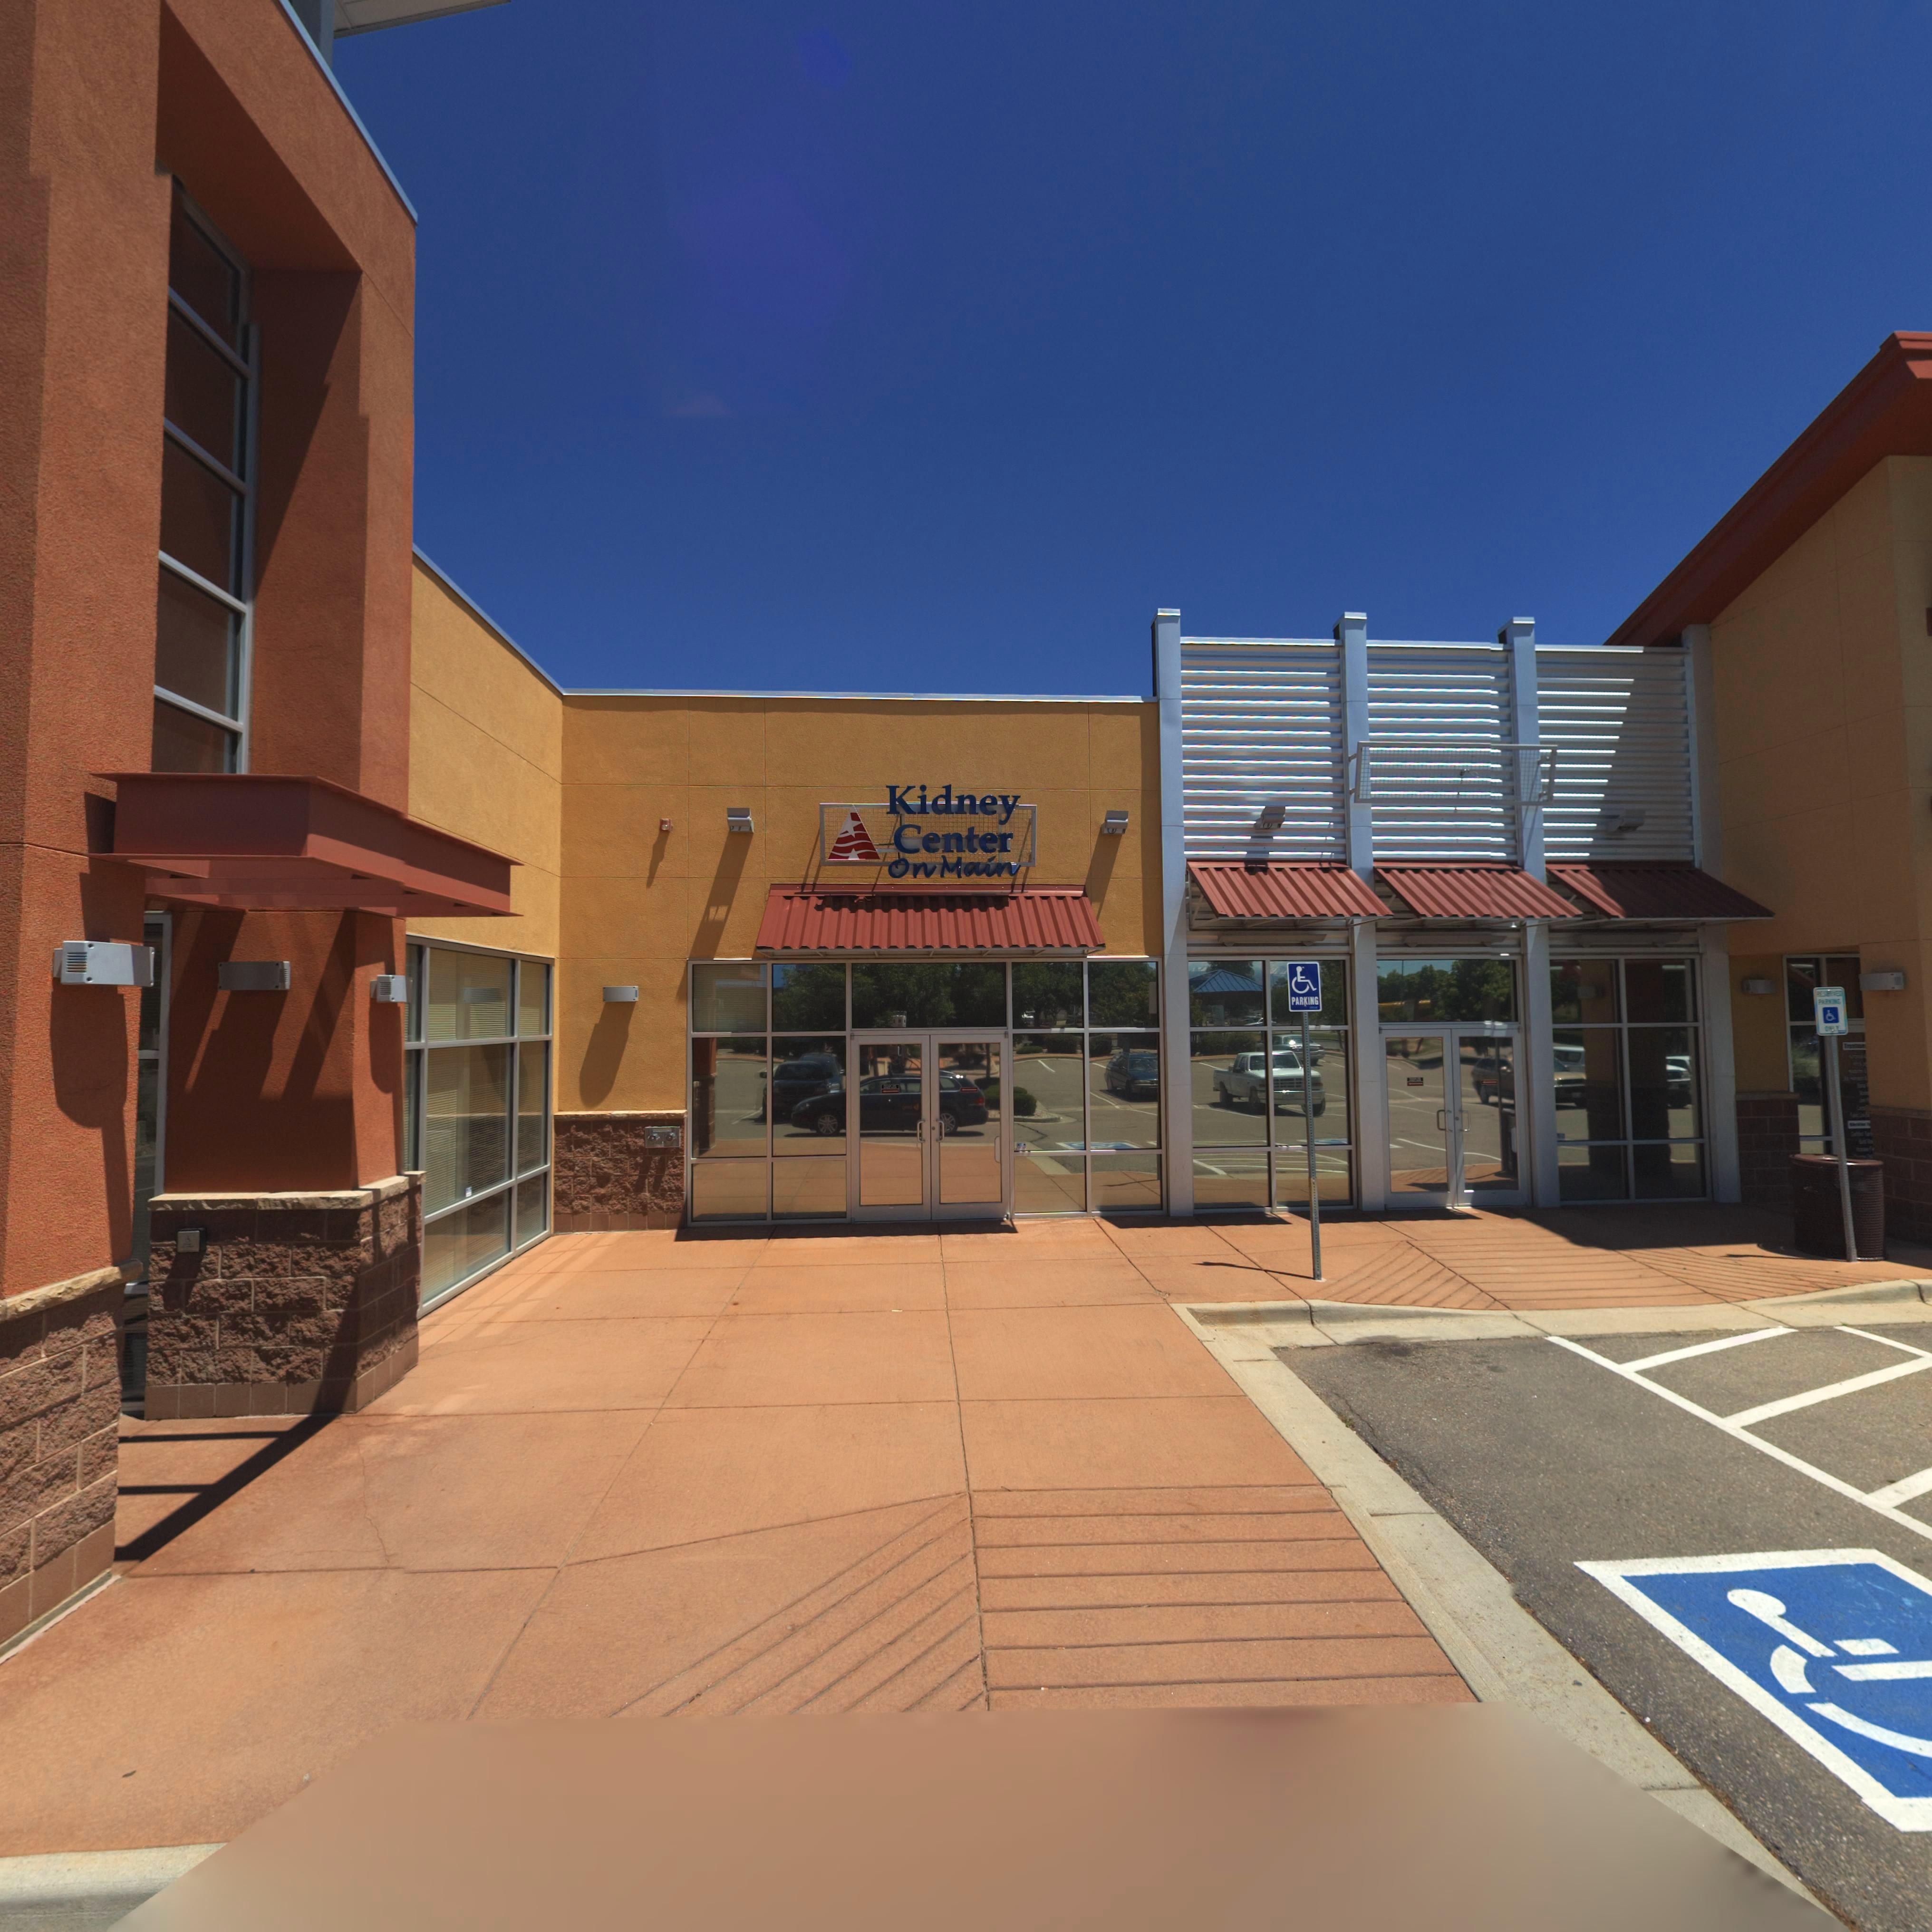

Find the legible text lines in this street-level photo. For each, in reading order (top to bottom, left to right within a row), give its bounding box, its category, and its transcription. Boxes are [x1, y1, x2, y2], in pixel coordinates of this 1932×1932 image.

[885, 783, 1024, 827] BusinessName: Kidney
[892, 823, 1015, 854] BusinessName: Center
[886, 854, 1024, 879] BusinessName: On Main